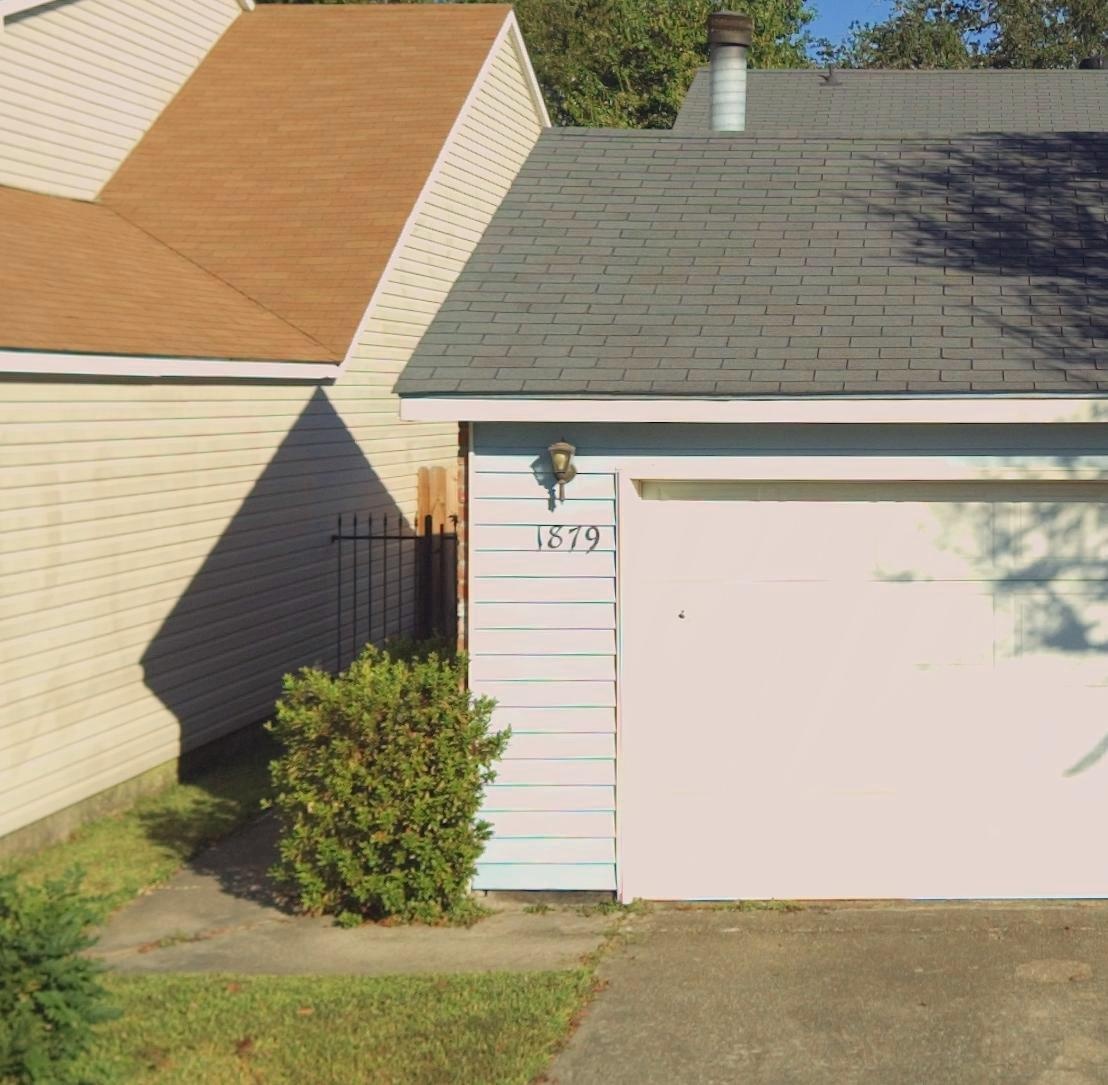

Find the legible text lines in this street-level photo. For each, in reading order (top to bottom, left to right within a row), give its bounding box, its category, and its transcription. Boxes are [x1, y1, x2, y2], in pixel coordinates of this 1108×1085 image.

[534, 522, 602, 556] StreetNumber: 1879